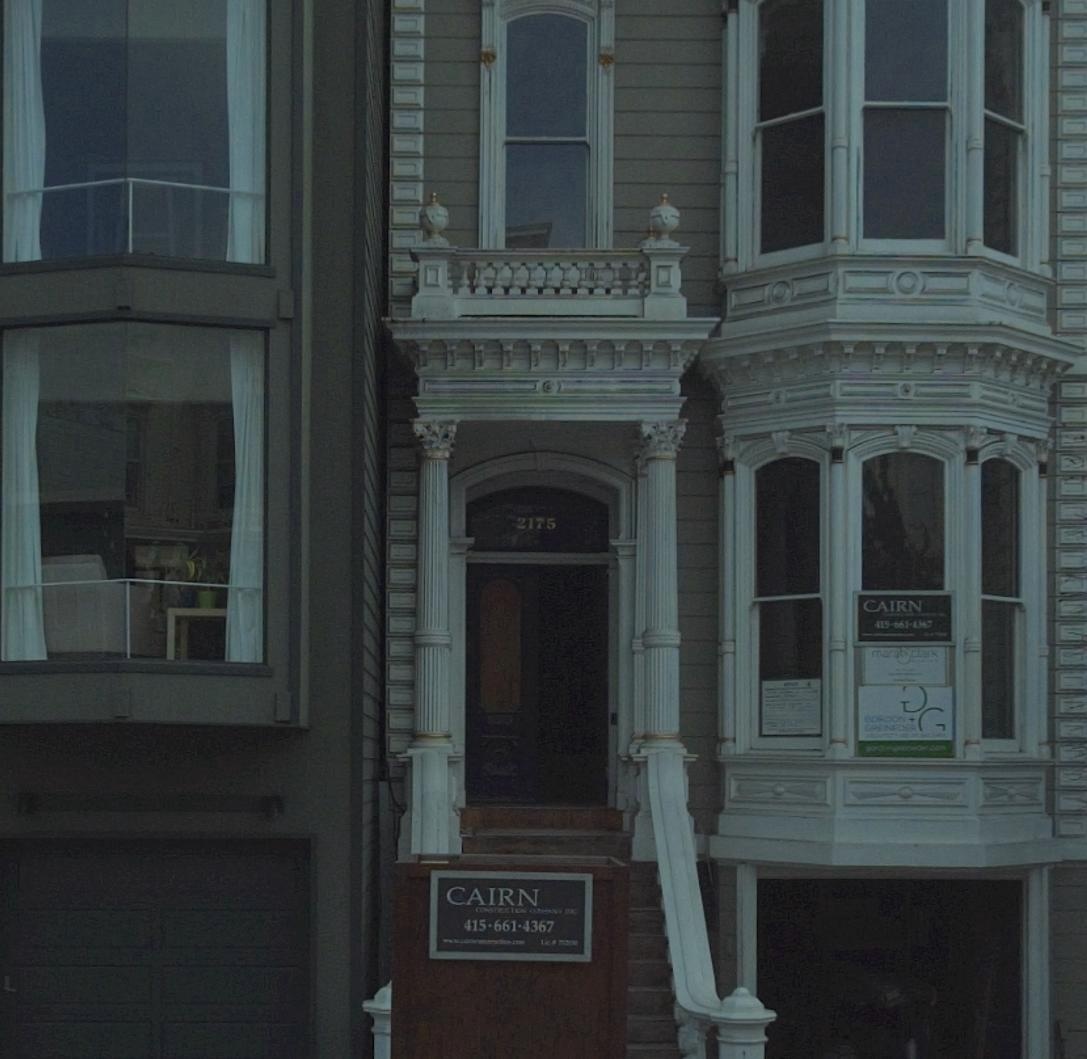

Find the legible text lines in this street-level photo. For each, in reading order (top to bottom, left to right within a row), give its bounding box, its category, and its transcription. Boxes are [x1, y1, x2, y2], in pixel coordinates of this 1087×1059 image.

[515, 515, 557, 531] StreetNumber: 2175
[861, 596, 924, 615] None: CAIRN
[871, 617, 935, 631] None: 415-661-**67
[444, 884, 541, 908] None: CAIRN
[461, 917, 557, 935] None: 415-661-4367